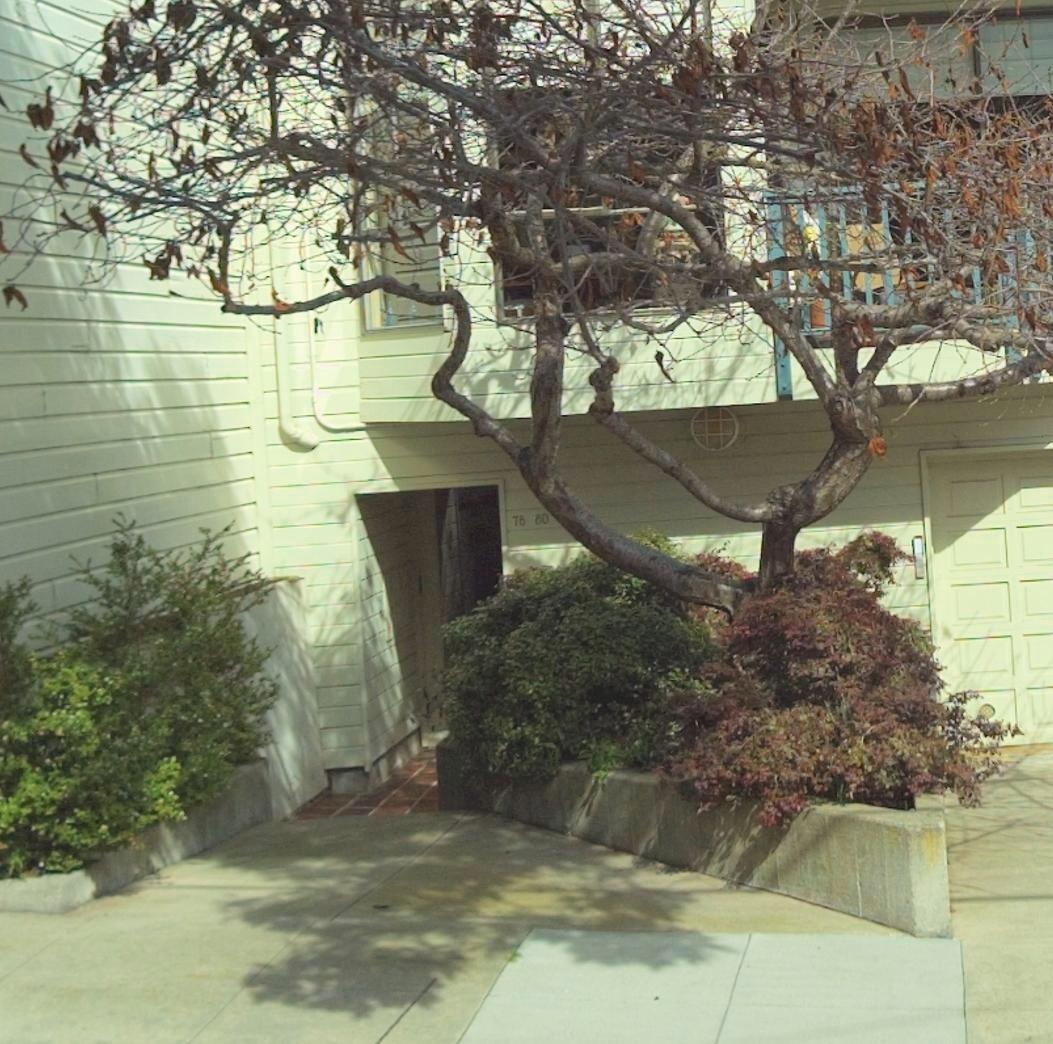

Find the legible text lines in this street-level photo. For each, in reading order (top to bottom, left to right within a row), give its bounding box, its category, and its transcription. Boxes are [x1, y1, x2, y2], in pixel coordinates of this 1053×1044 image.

[510, 514, 527, 528] StreetNumber: 78
[533, 511, 549, 527] StreetNumber: 80